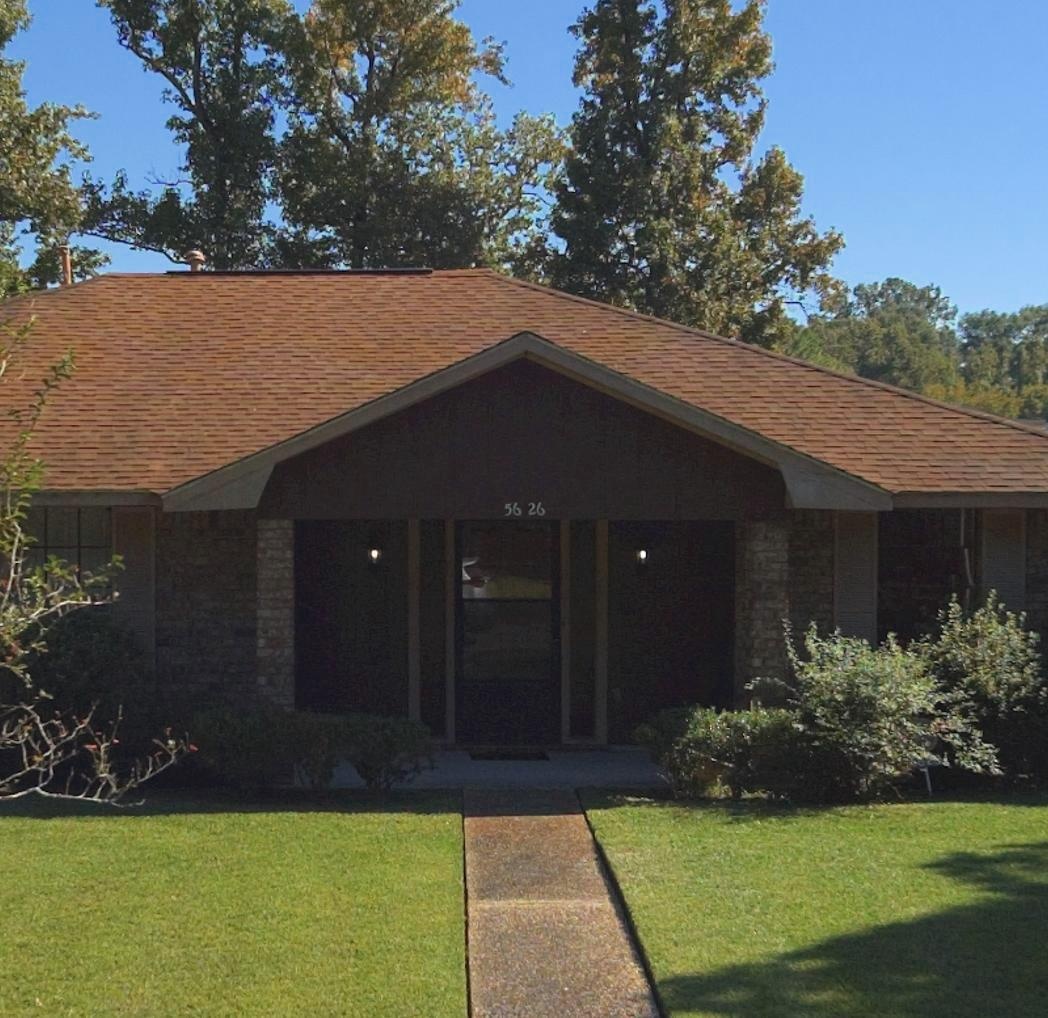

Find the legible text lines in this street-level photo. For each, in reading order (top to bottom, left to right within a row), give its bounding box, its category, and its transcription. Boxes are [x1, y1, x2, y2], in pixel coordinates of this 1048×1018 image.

[500, 500, 548, 518] StreetNumber: 5626